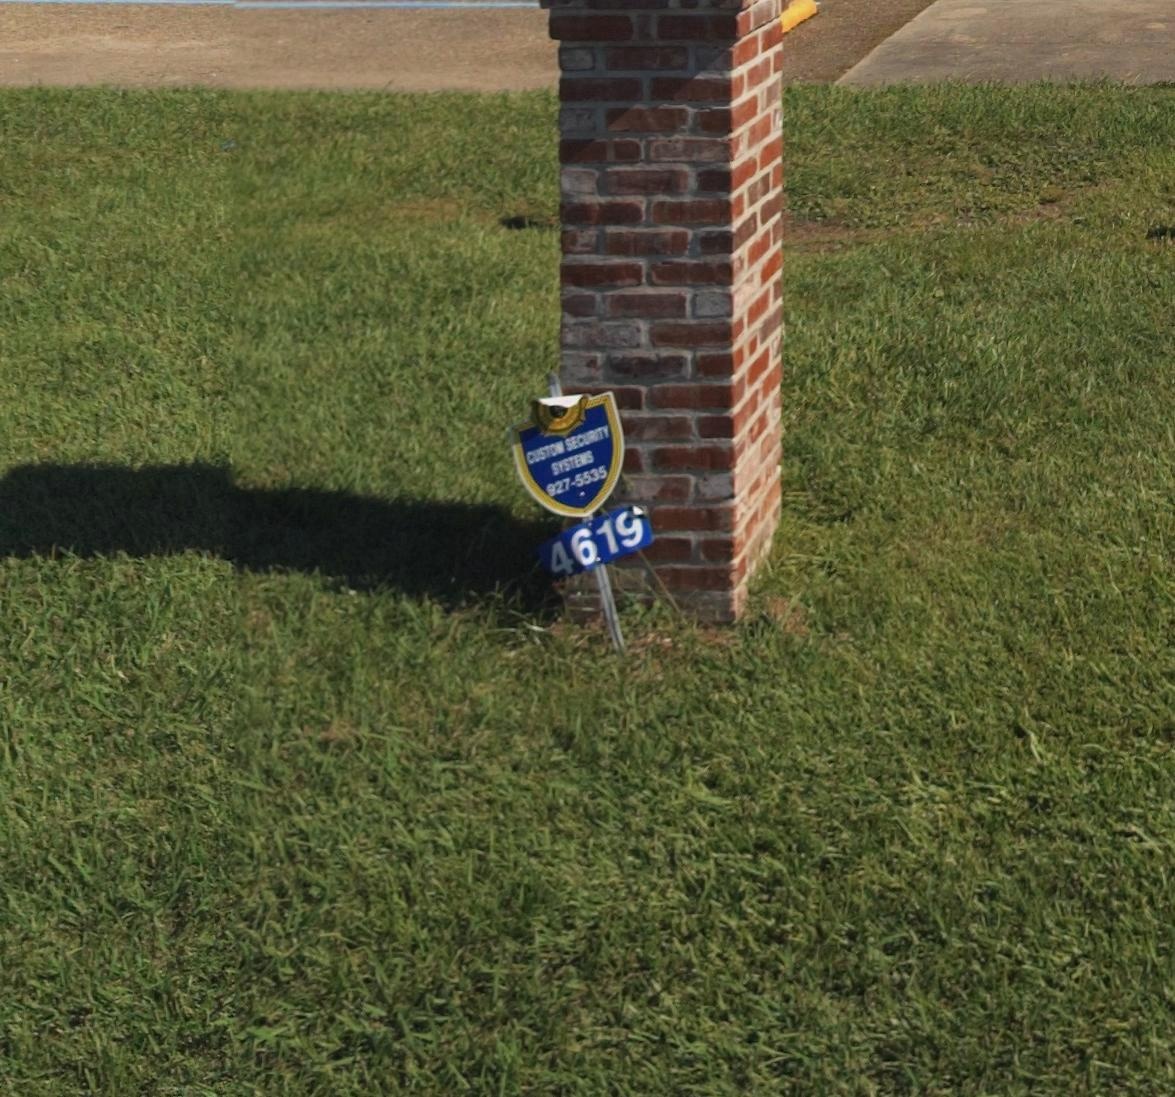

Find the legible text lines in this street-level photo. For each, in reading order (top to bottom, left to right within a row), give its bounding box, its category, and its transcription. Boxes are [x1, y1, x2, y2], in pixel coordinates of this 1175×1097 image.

[521, 421, 612, 471] None: CUSTOM SECUR*TY
[548, 446, 598, 480] None: SYSTEMS
[542, 461, 610, 501] None: 327-5535
[547, 504, 645, 578] StreetNumber: 4619